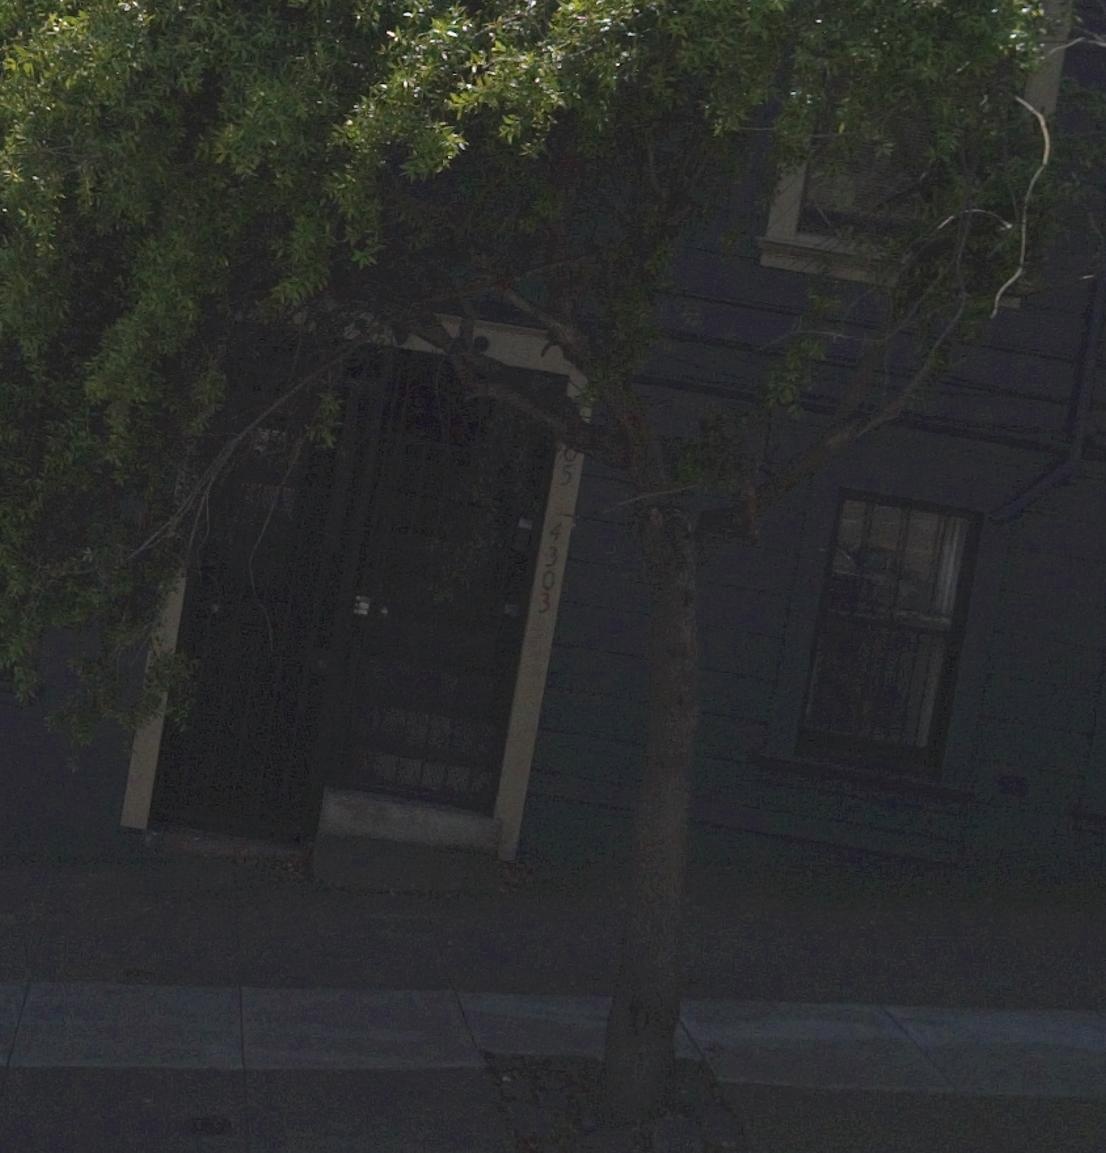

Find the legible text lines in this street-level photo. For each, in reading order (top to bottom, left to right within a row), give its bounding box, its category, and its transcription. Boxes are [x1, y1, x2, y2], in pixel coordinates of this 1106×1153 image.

[555, 440, 581, 488] StreetNumber: *5
[533, 518, 569, 616] StreetNumber: 4303